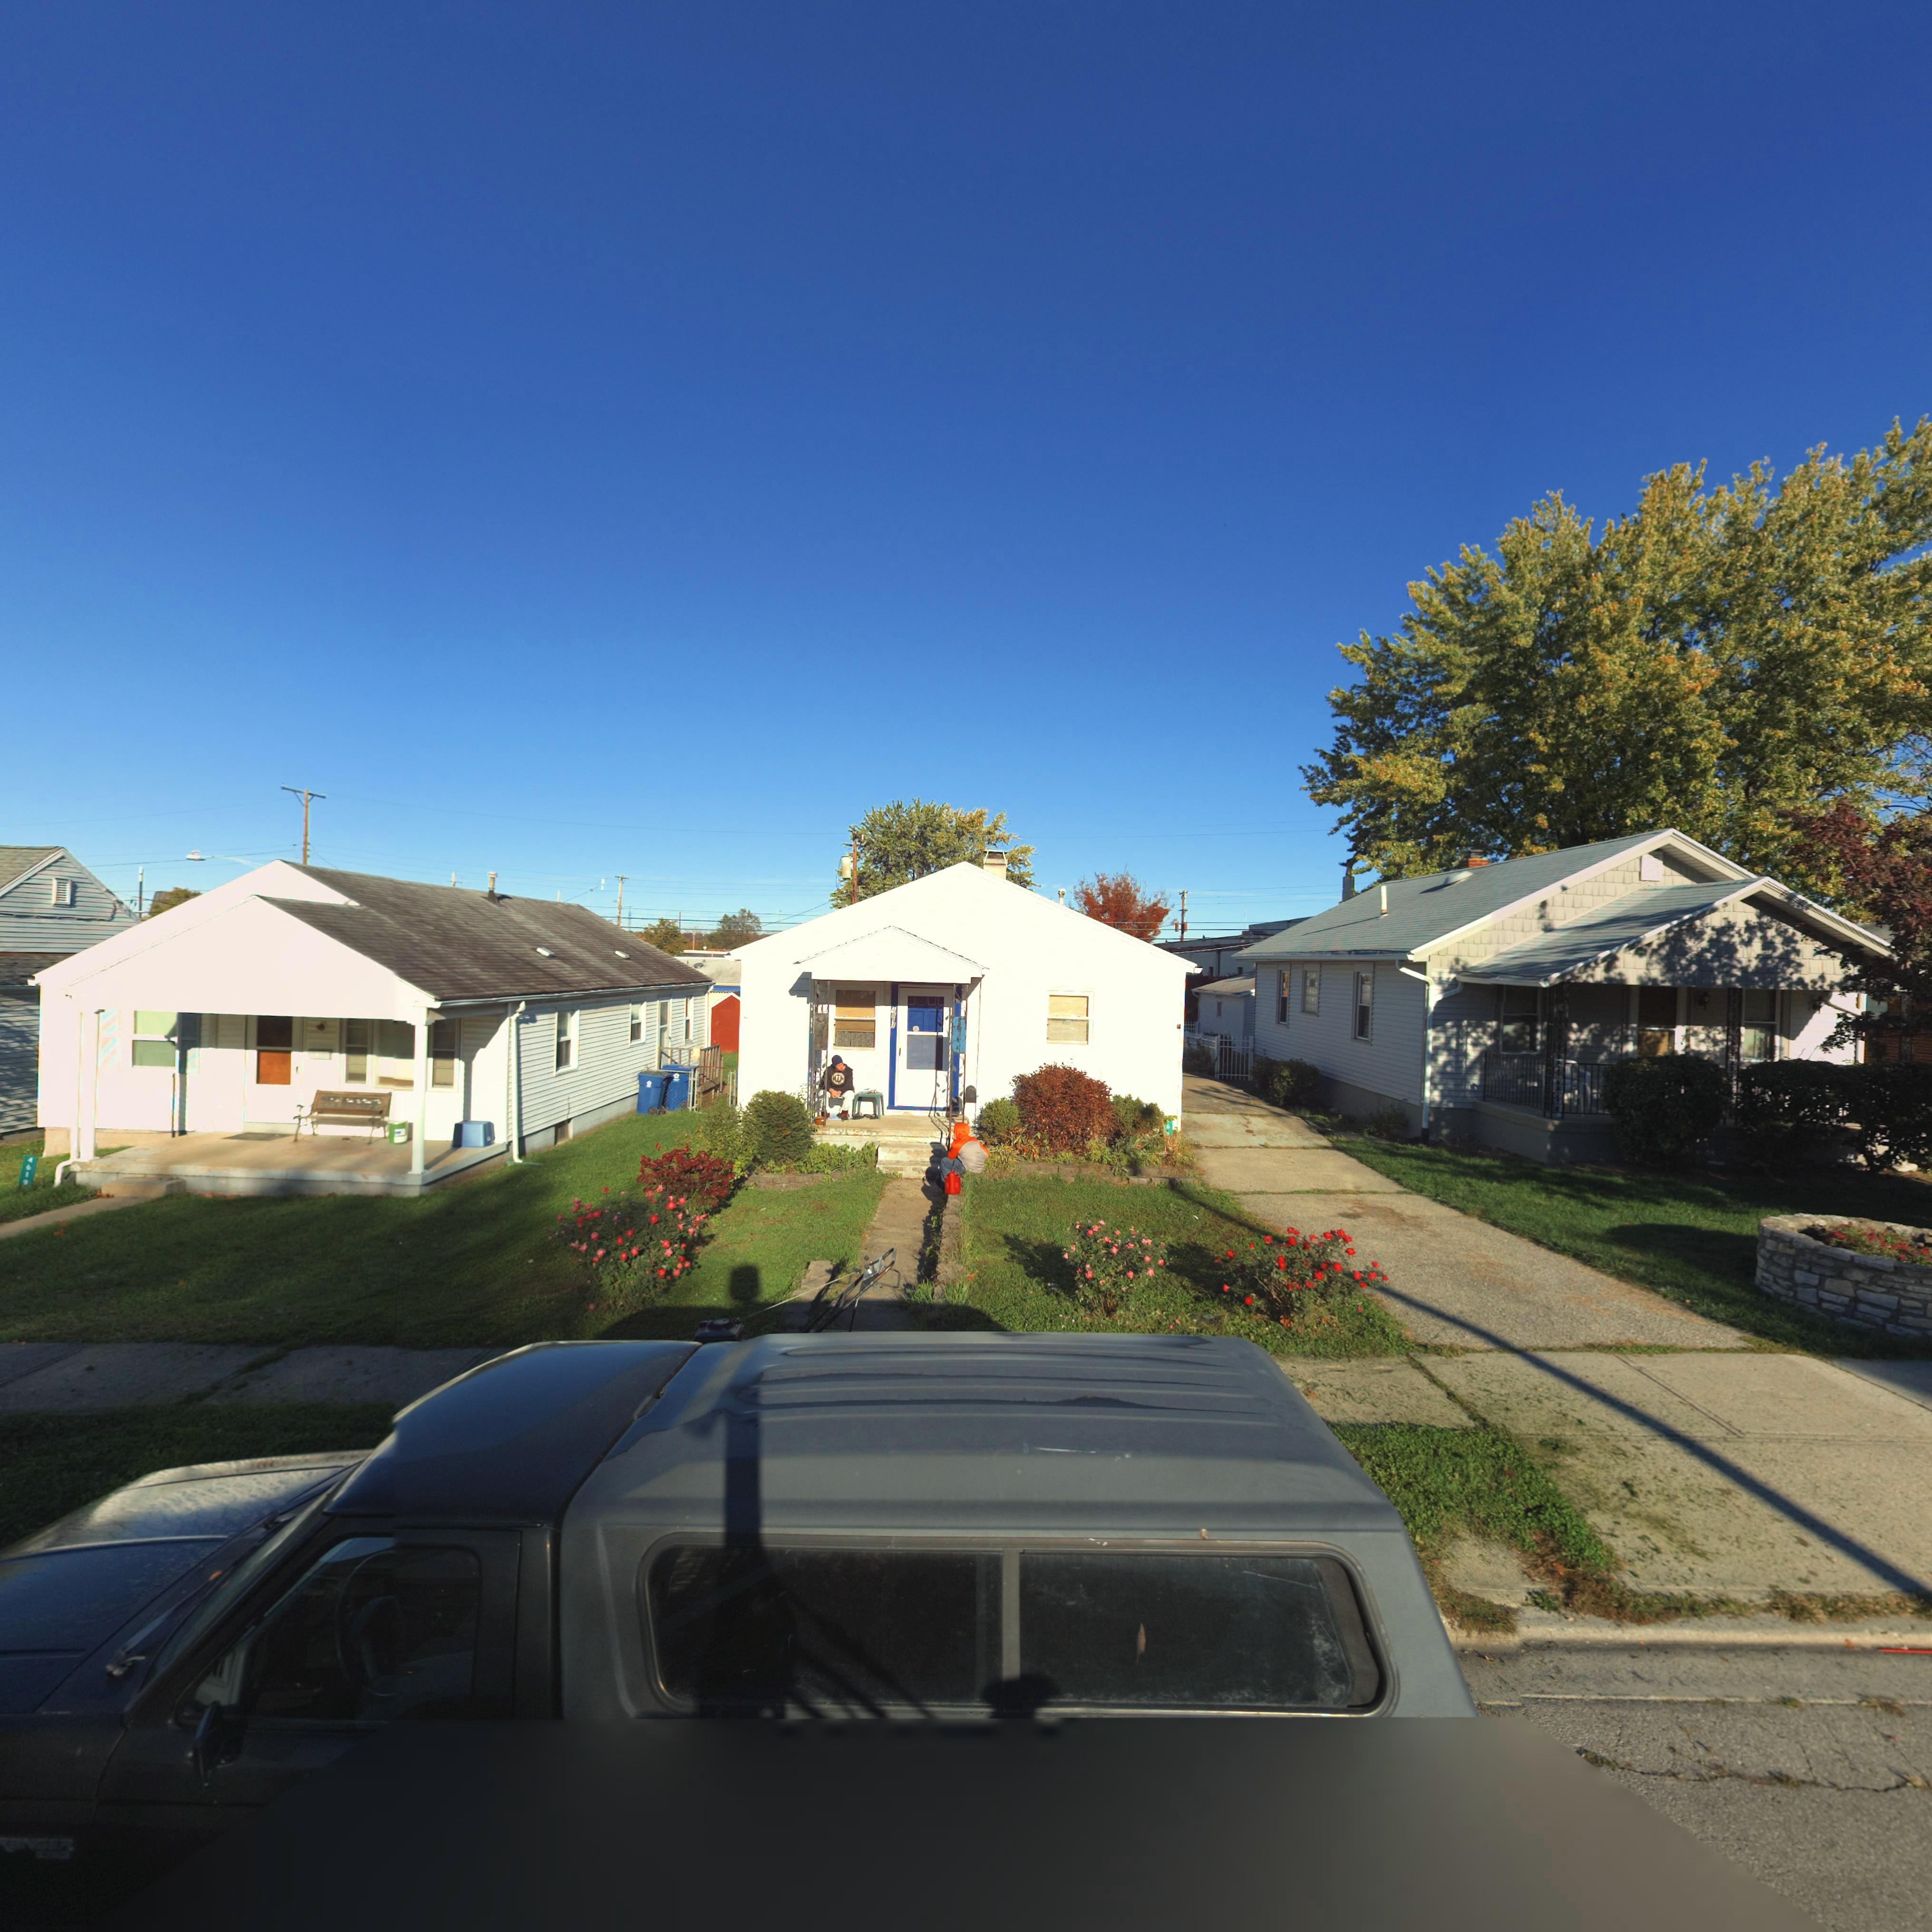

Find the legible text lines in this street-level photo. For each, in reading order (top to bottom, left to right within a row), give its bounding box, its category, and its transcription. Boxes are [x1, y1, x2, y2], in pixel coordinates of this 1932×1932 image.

[890, 1006, 897, 1029] StreetNumber: 4617
[22, 1156, 34, 1186] StreetNumber: 4619